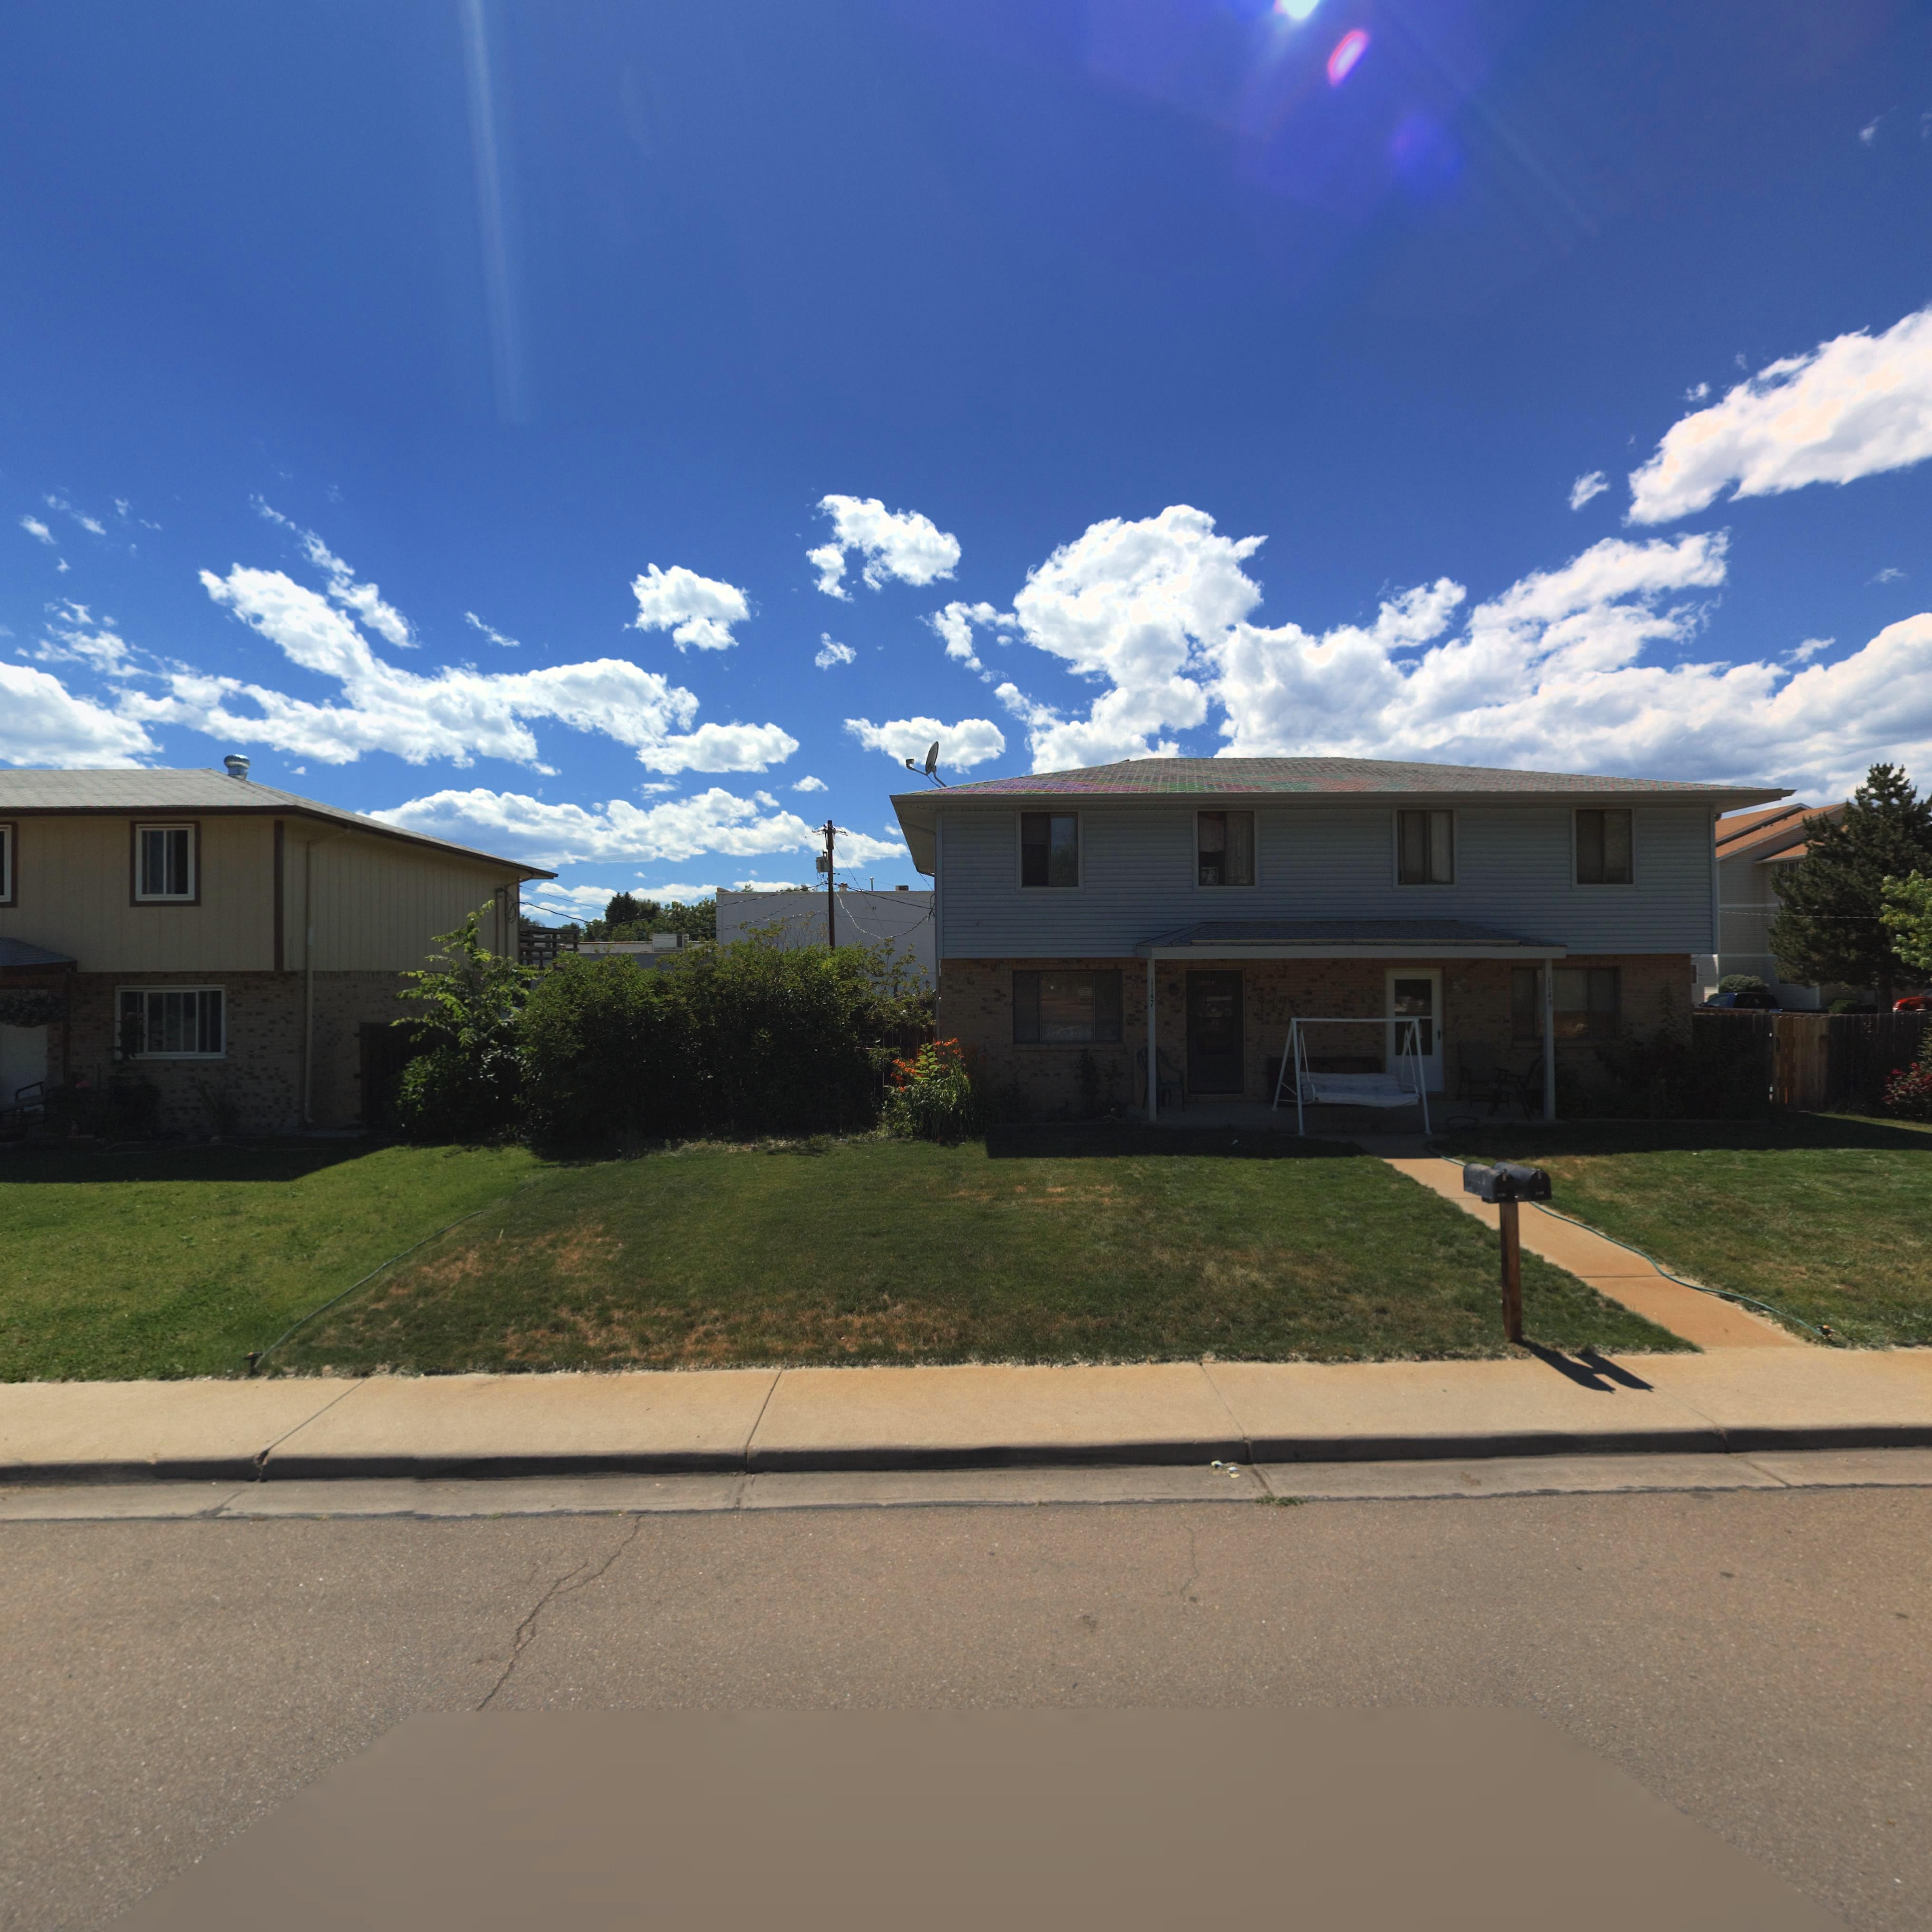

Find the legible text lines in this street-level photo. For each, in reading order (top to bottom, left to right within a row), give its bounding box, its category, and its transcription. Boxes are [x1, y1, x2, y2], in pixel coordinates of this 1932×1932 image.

[1149, 977, 1154, 1007] StreetNumber: 1147
[1547, 976, 1553, 1007] StreetNumber: 1149